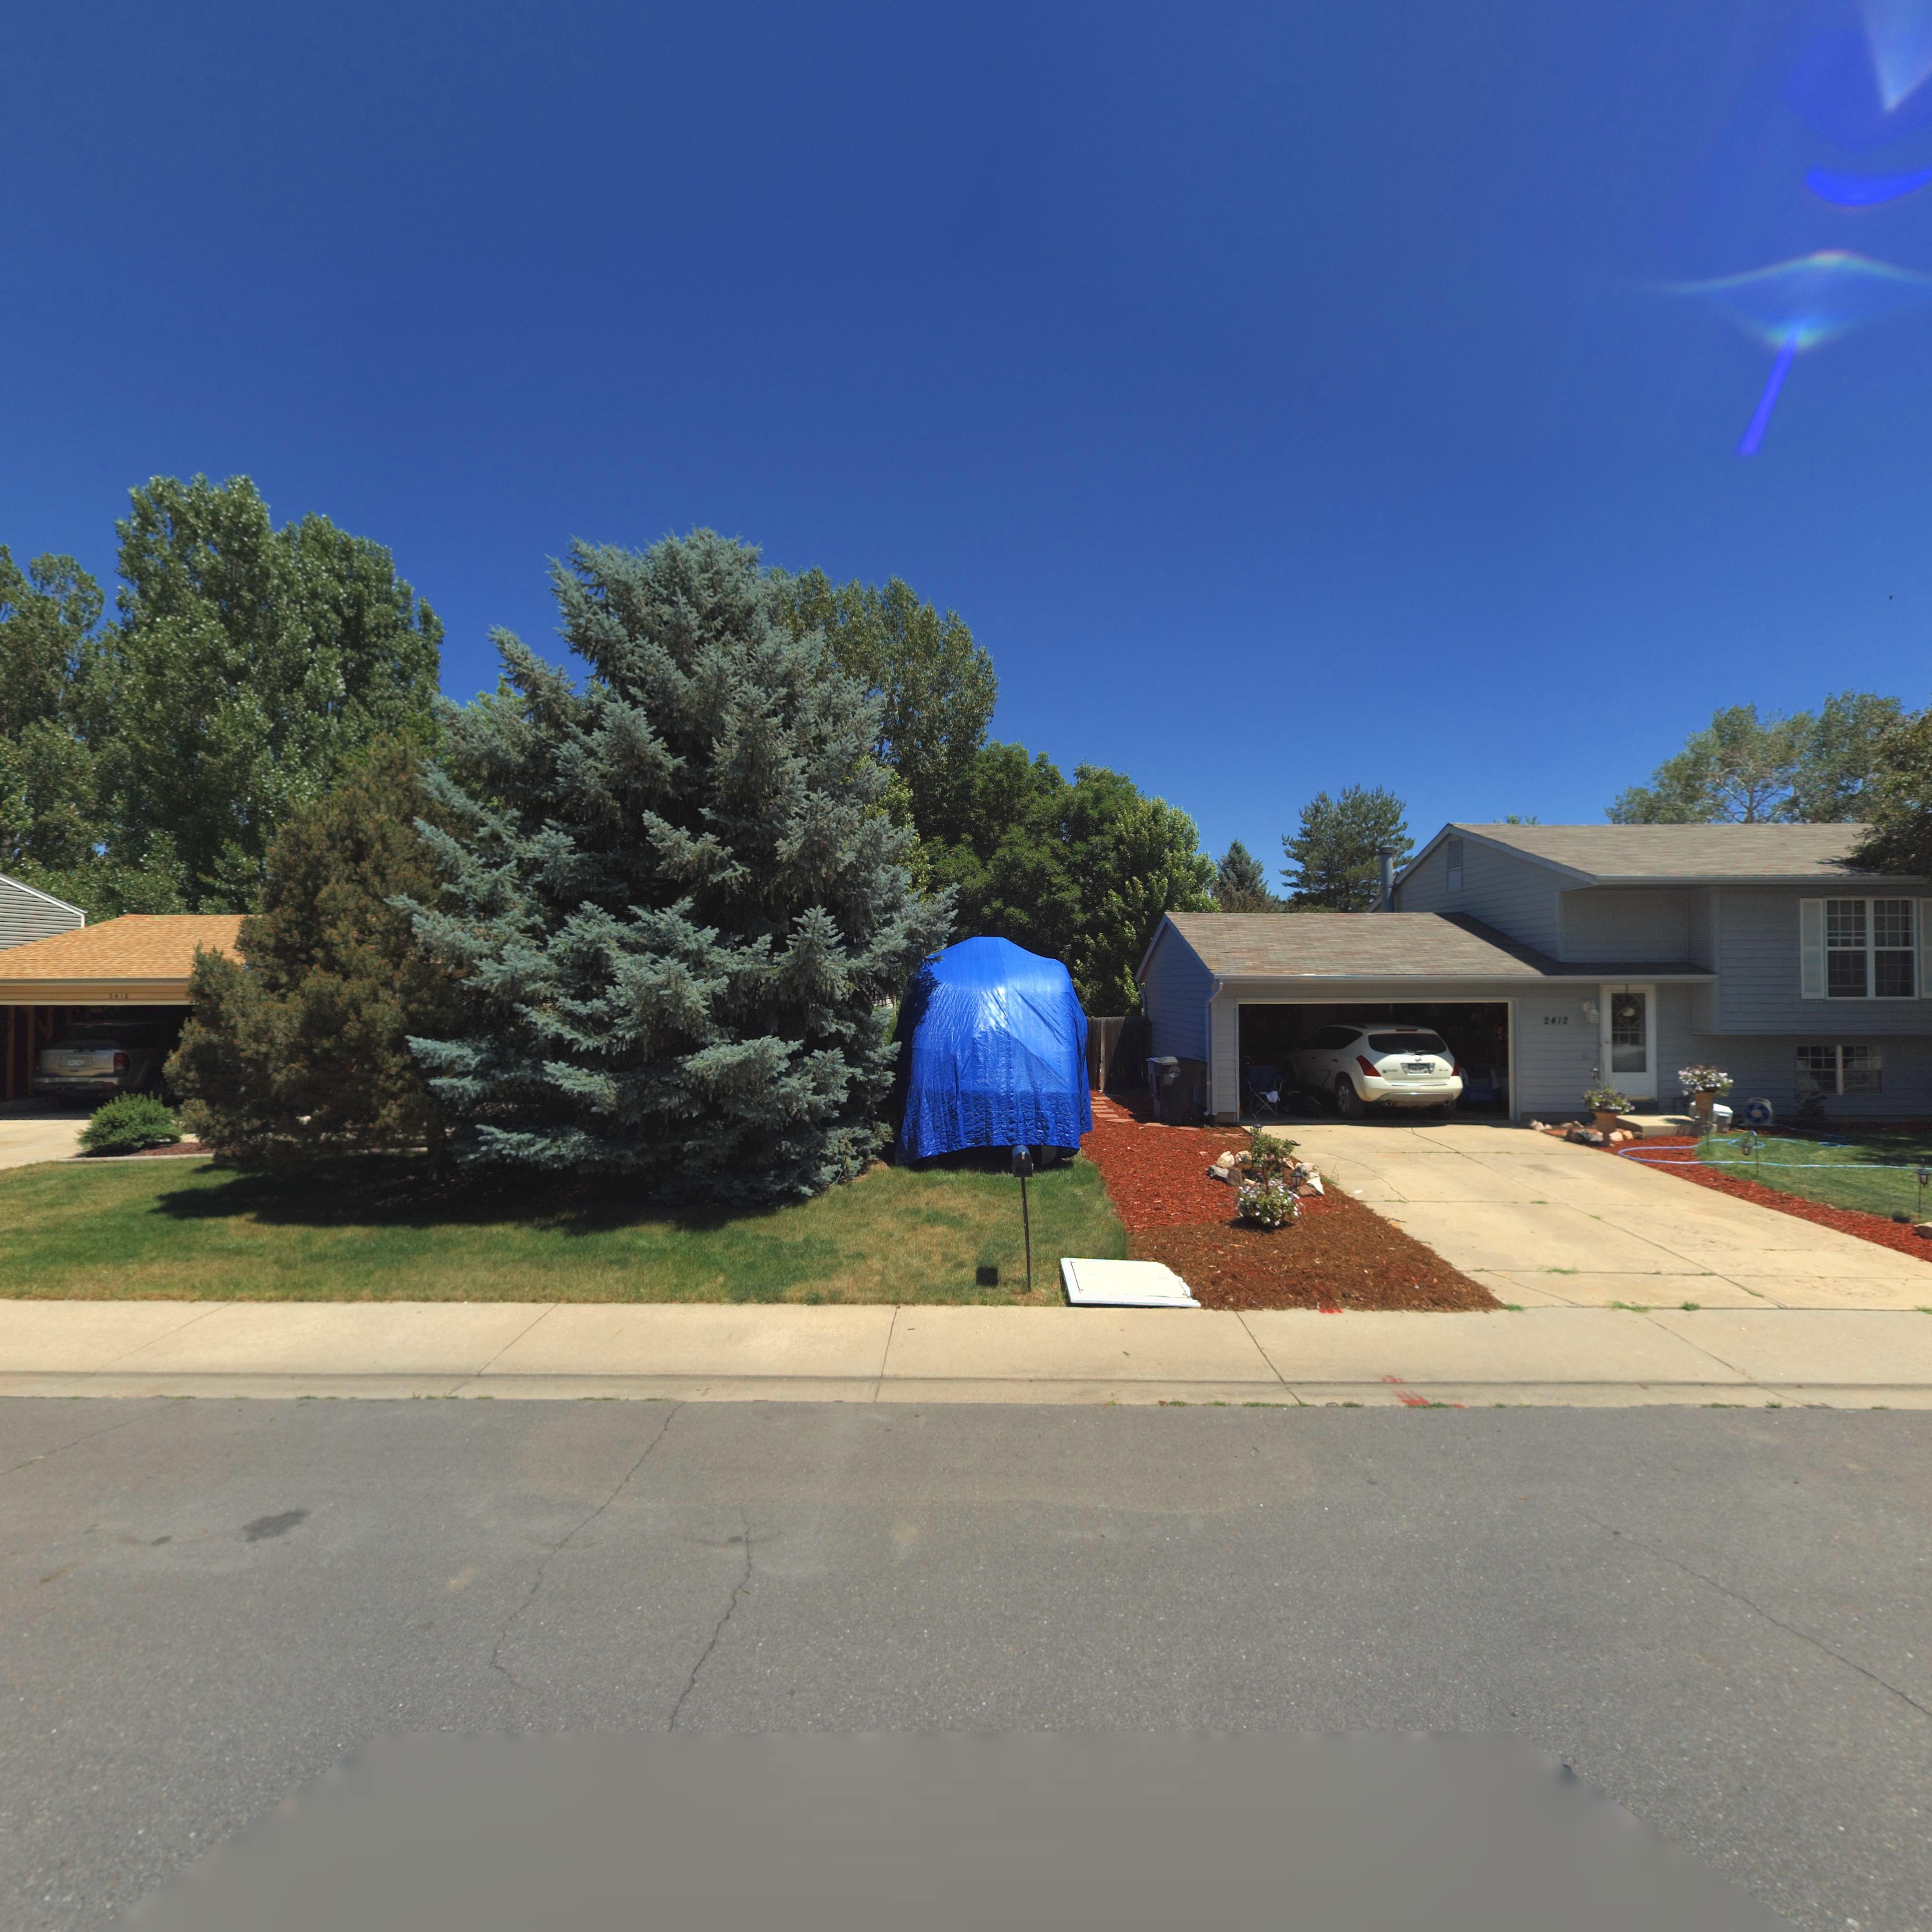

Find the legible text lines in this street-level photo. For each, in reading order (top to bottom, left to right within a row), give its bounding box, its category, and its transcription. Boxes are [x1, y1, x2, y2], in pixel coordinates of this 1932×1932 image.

[108, 993, 129, 999] StreetNumber: 2418
[1544, 1016, 1569, 1025] StreetNumber: 2412